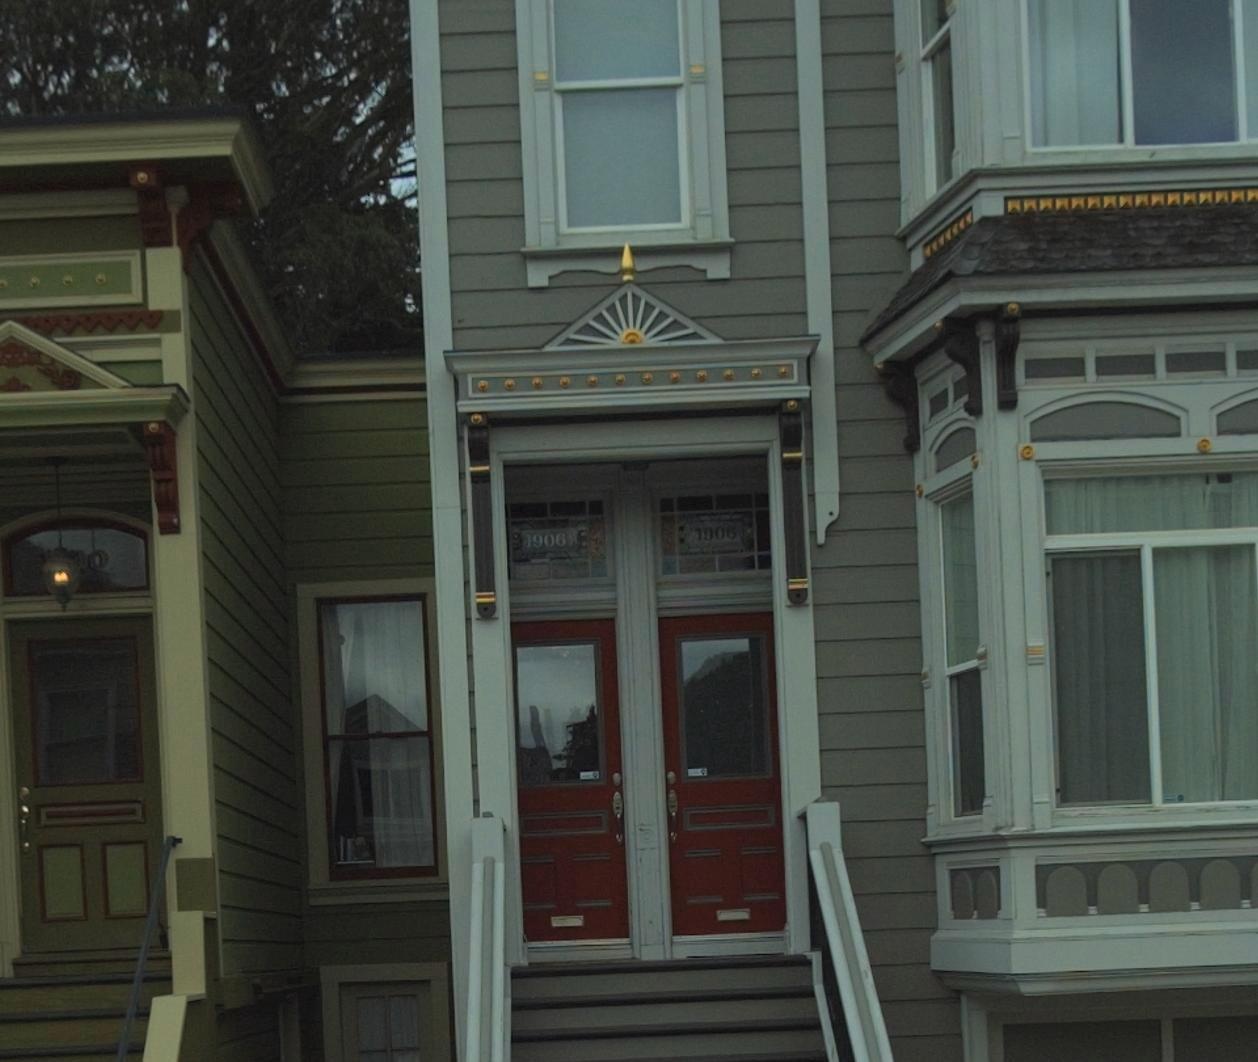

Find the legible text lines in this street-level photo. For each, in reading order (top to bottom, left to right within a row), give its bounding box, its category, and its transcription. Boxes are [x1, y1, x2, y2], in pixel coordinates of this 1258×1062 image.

[523, 530, 567, 551] StreetNumber: 1906
[693, 523, 739, 544] StreetNumber: 1906